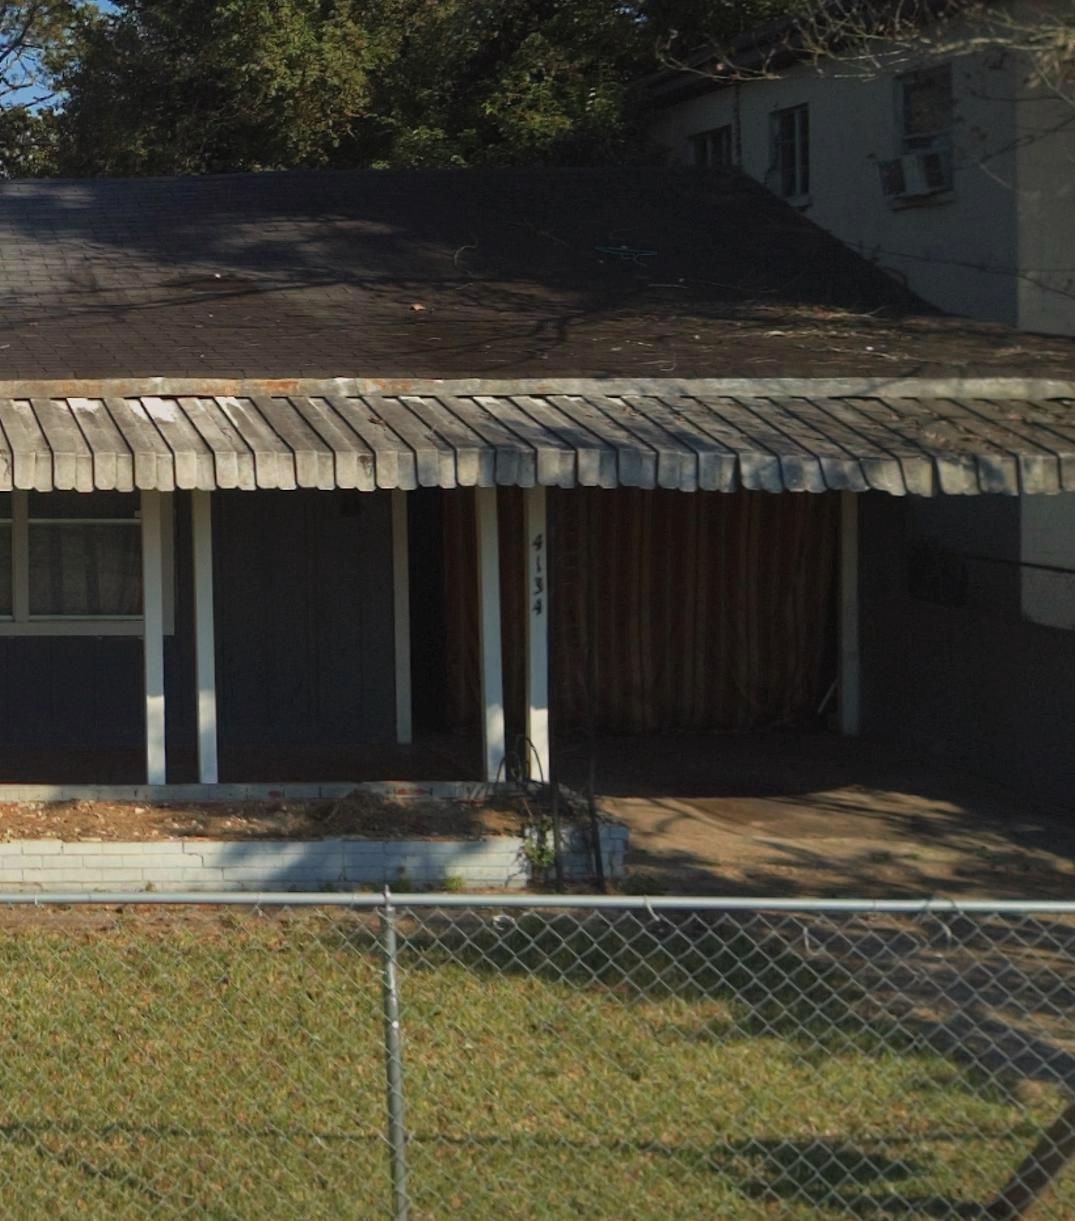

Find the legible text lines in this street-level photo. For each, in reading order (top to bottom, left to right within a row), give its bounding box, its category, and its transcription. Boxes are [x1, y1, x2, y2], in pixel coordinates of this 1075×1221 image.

[529, 531, 544, 616] StreetNumber: 4134